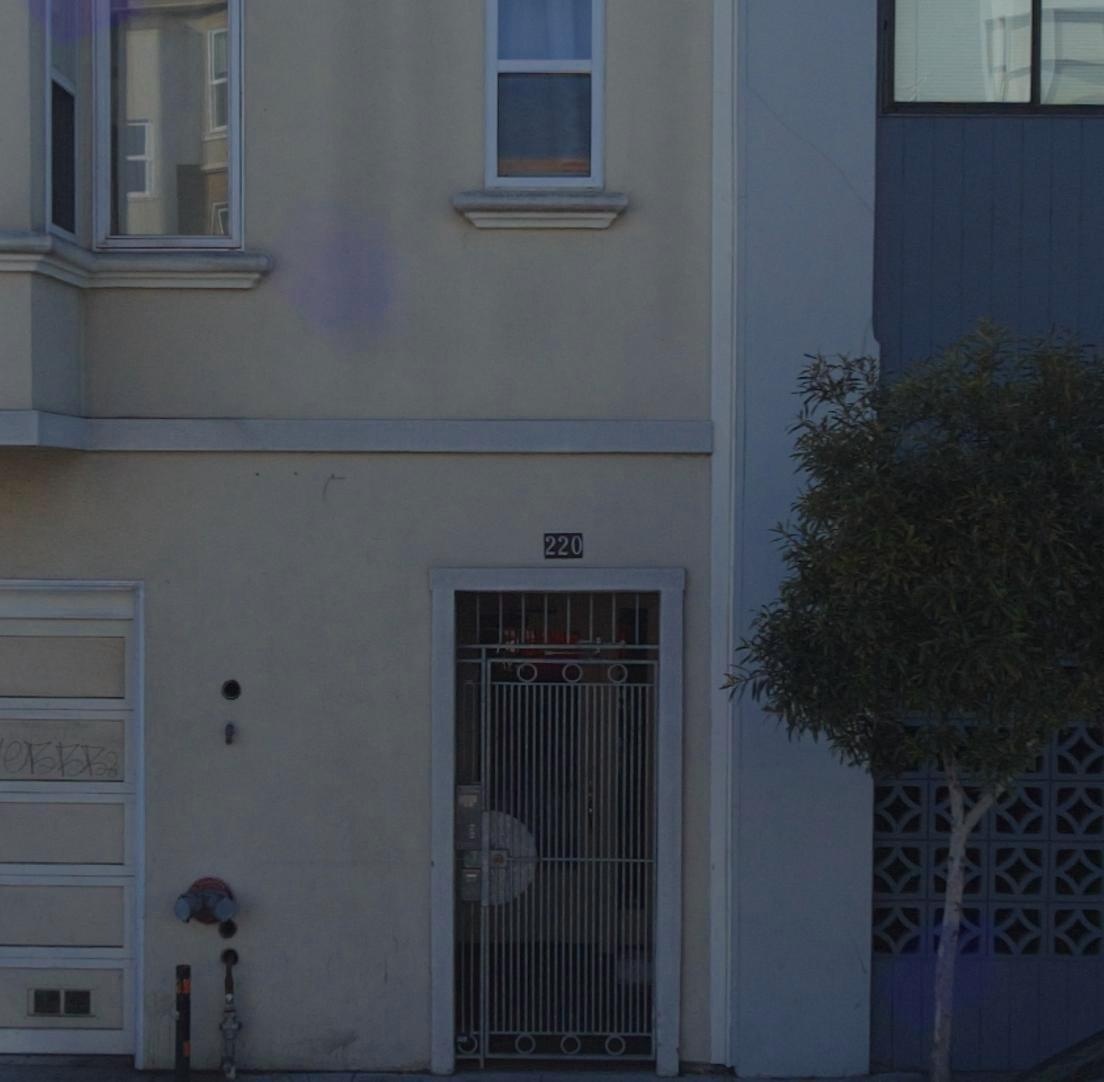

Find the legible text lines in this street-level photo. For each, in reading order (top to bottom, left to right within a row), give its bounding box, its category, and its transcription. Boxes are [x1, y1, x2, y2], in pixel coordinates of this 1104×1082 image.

[544, 534, 584, 557] StreetNumber: 220